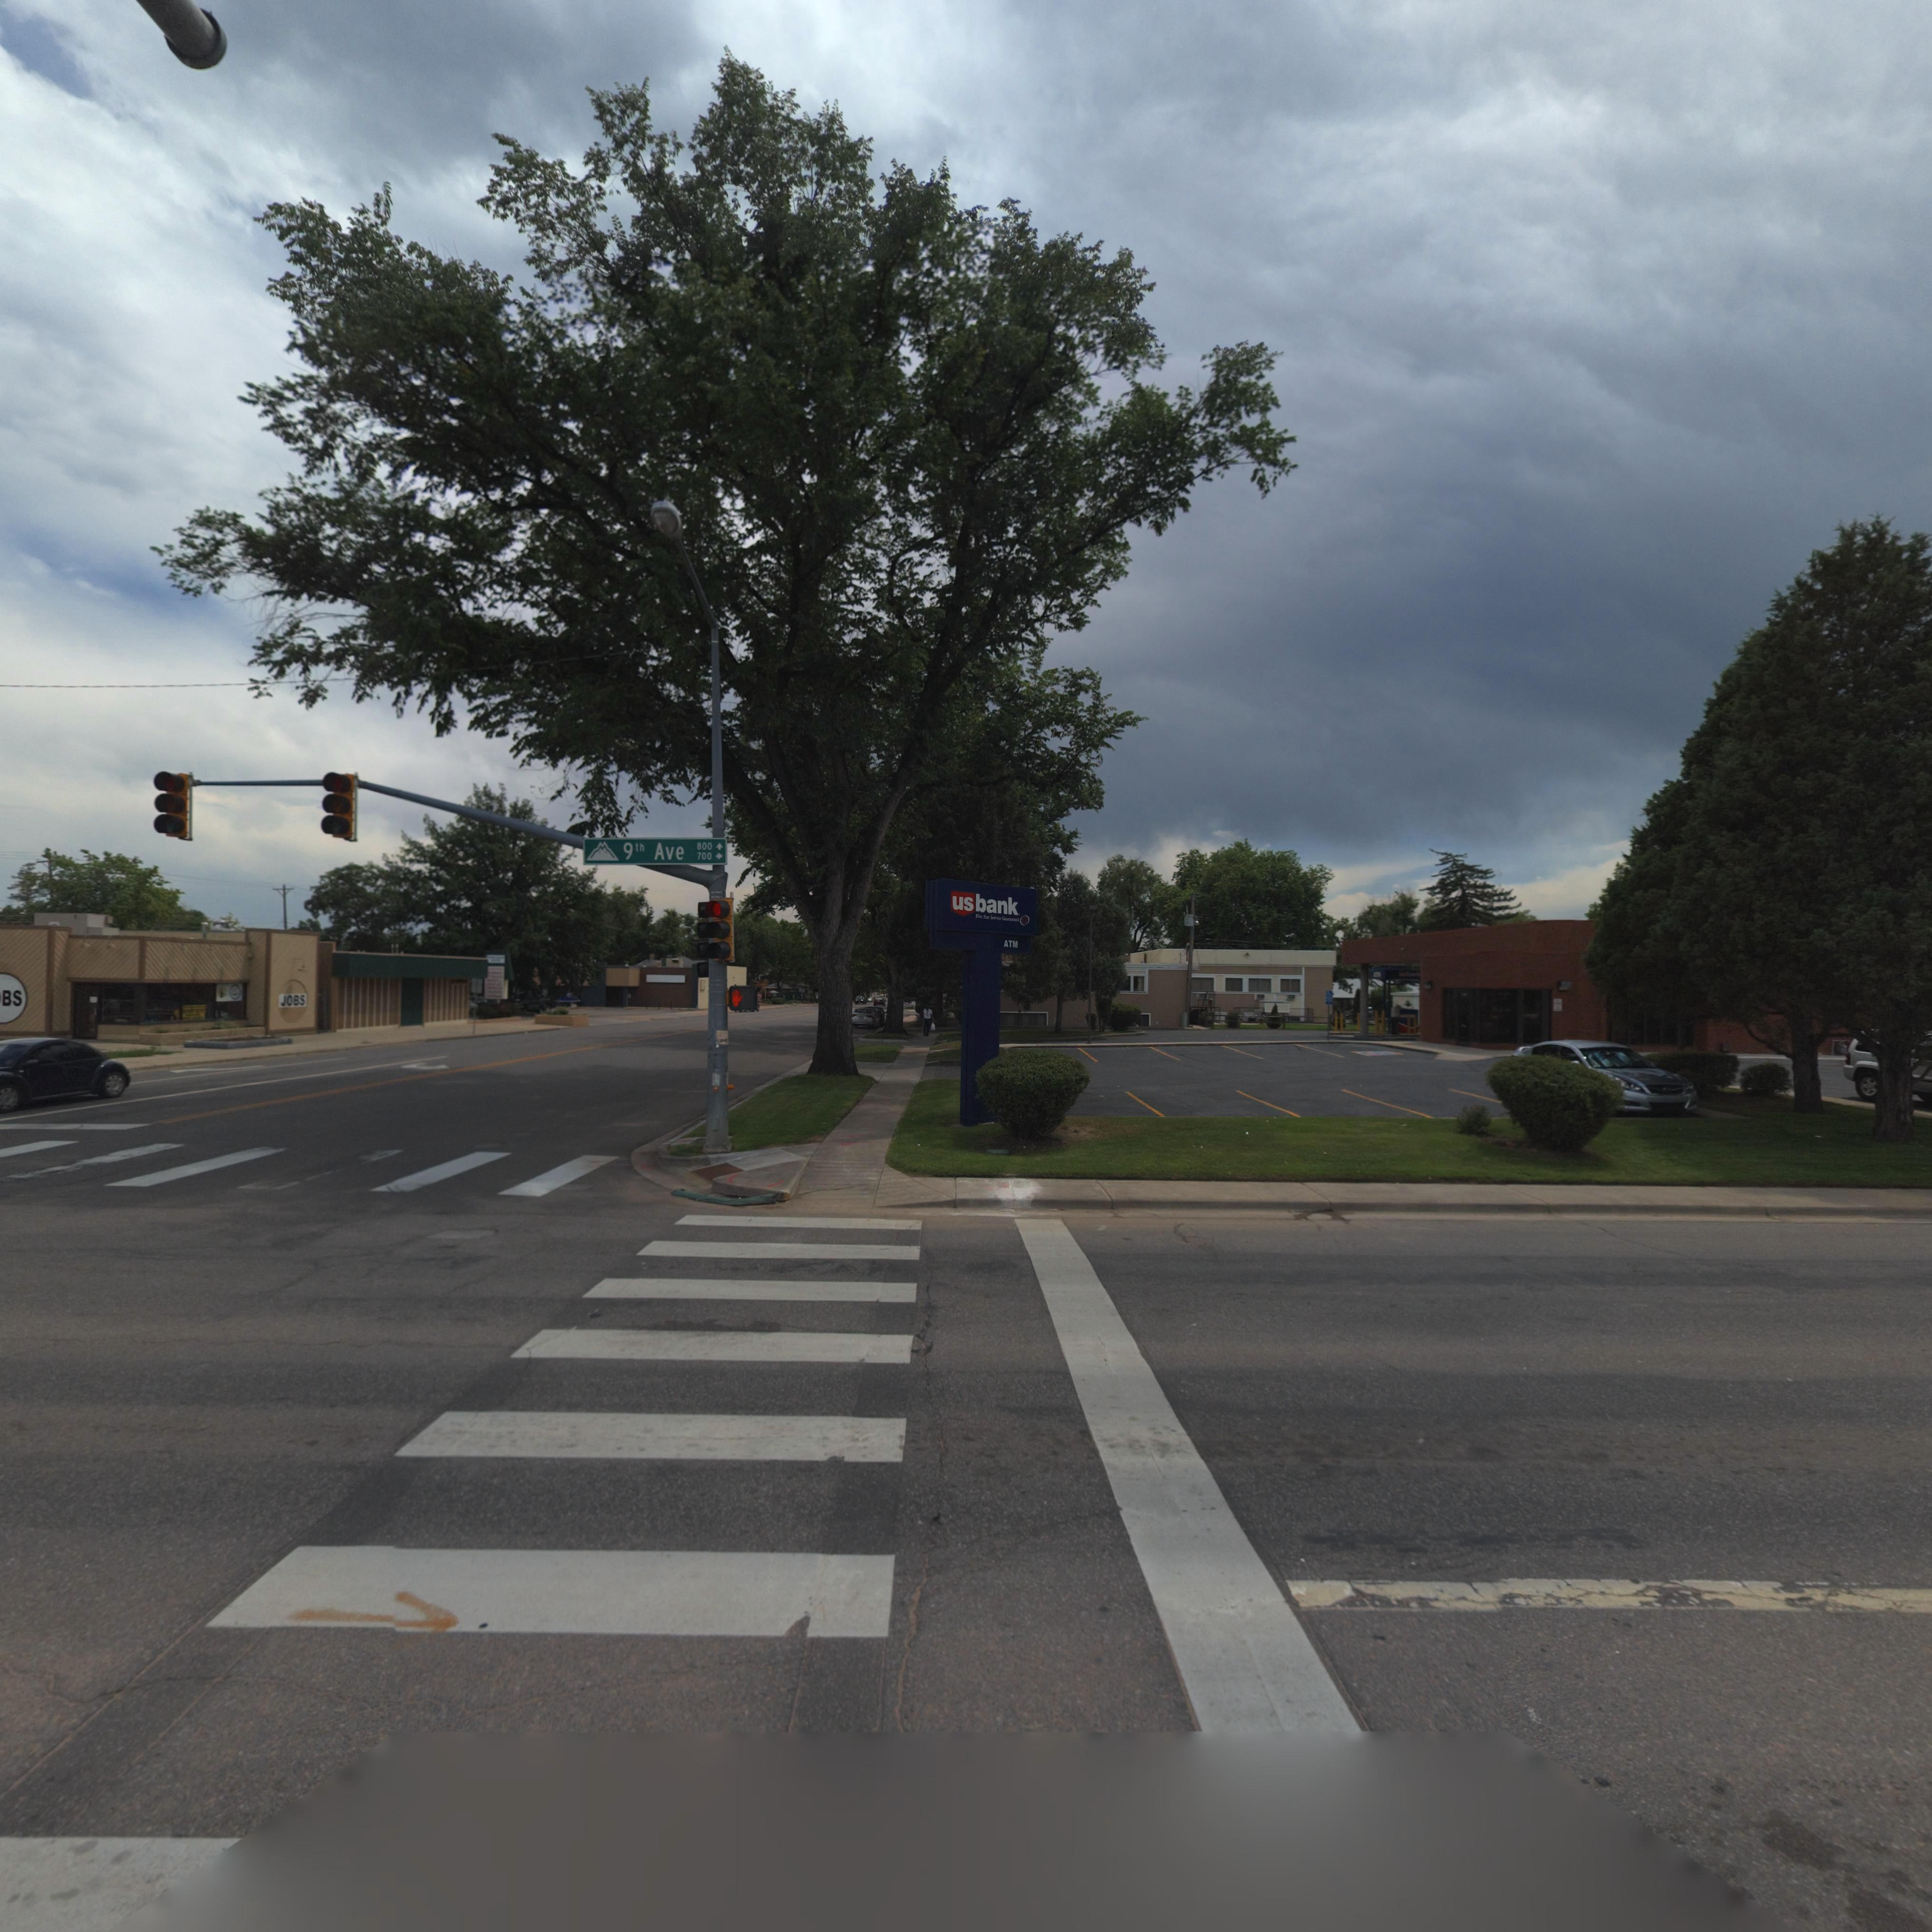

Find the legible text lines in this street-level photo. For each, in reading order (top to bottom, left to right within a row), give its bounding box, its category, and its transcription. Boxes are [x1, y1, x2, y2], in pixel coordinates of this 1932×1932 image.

[623, 841, 684, 860] StreetName: 9th Ave
[697, 841, 712, 850] StreetNumberRange: 800
[697, 852, 723, 860] StreetNumberRange: 700->
[952, 893, 1019, 915] BusinessName: usbank
[2, 989, 22, 1006] BusinessName: BS
[280, 994, 305, 1006] BusinessName: JOBS